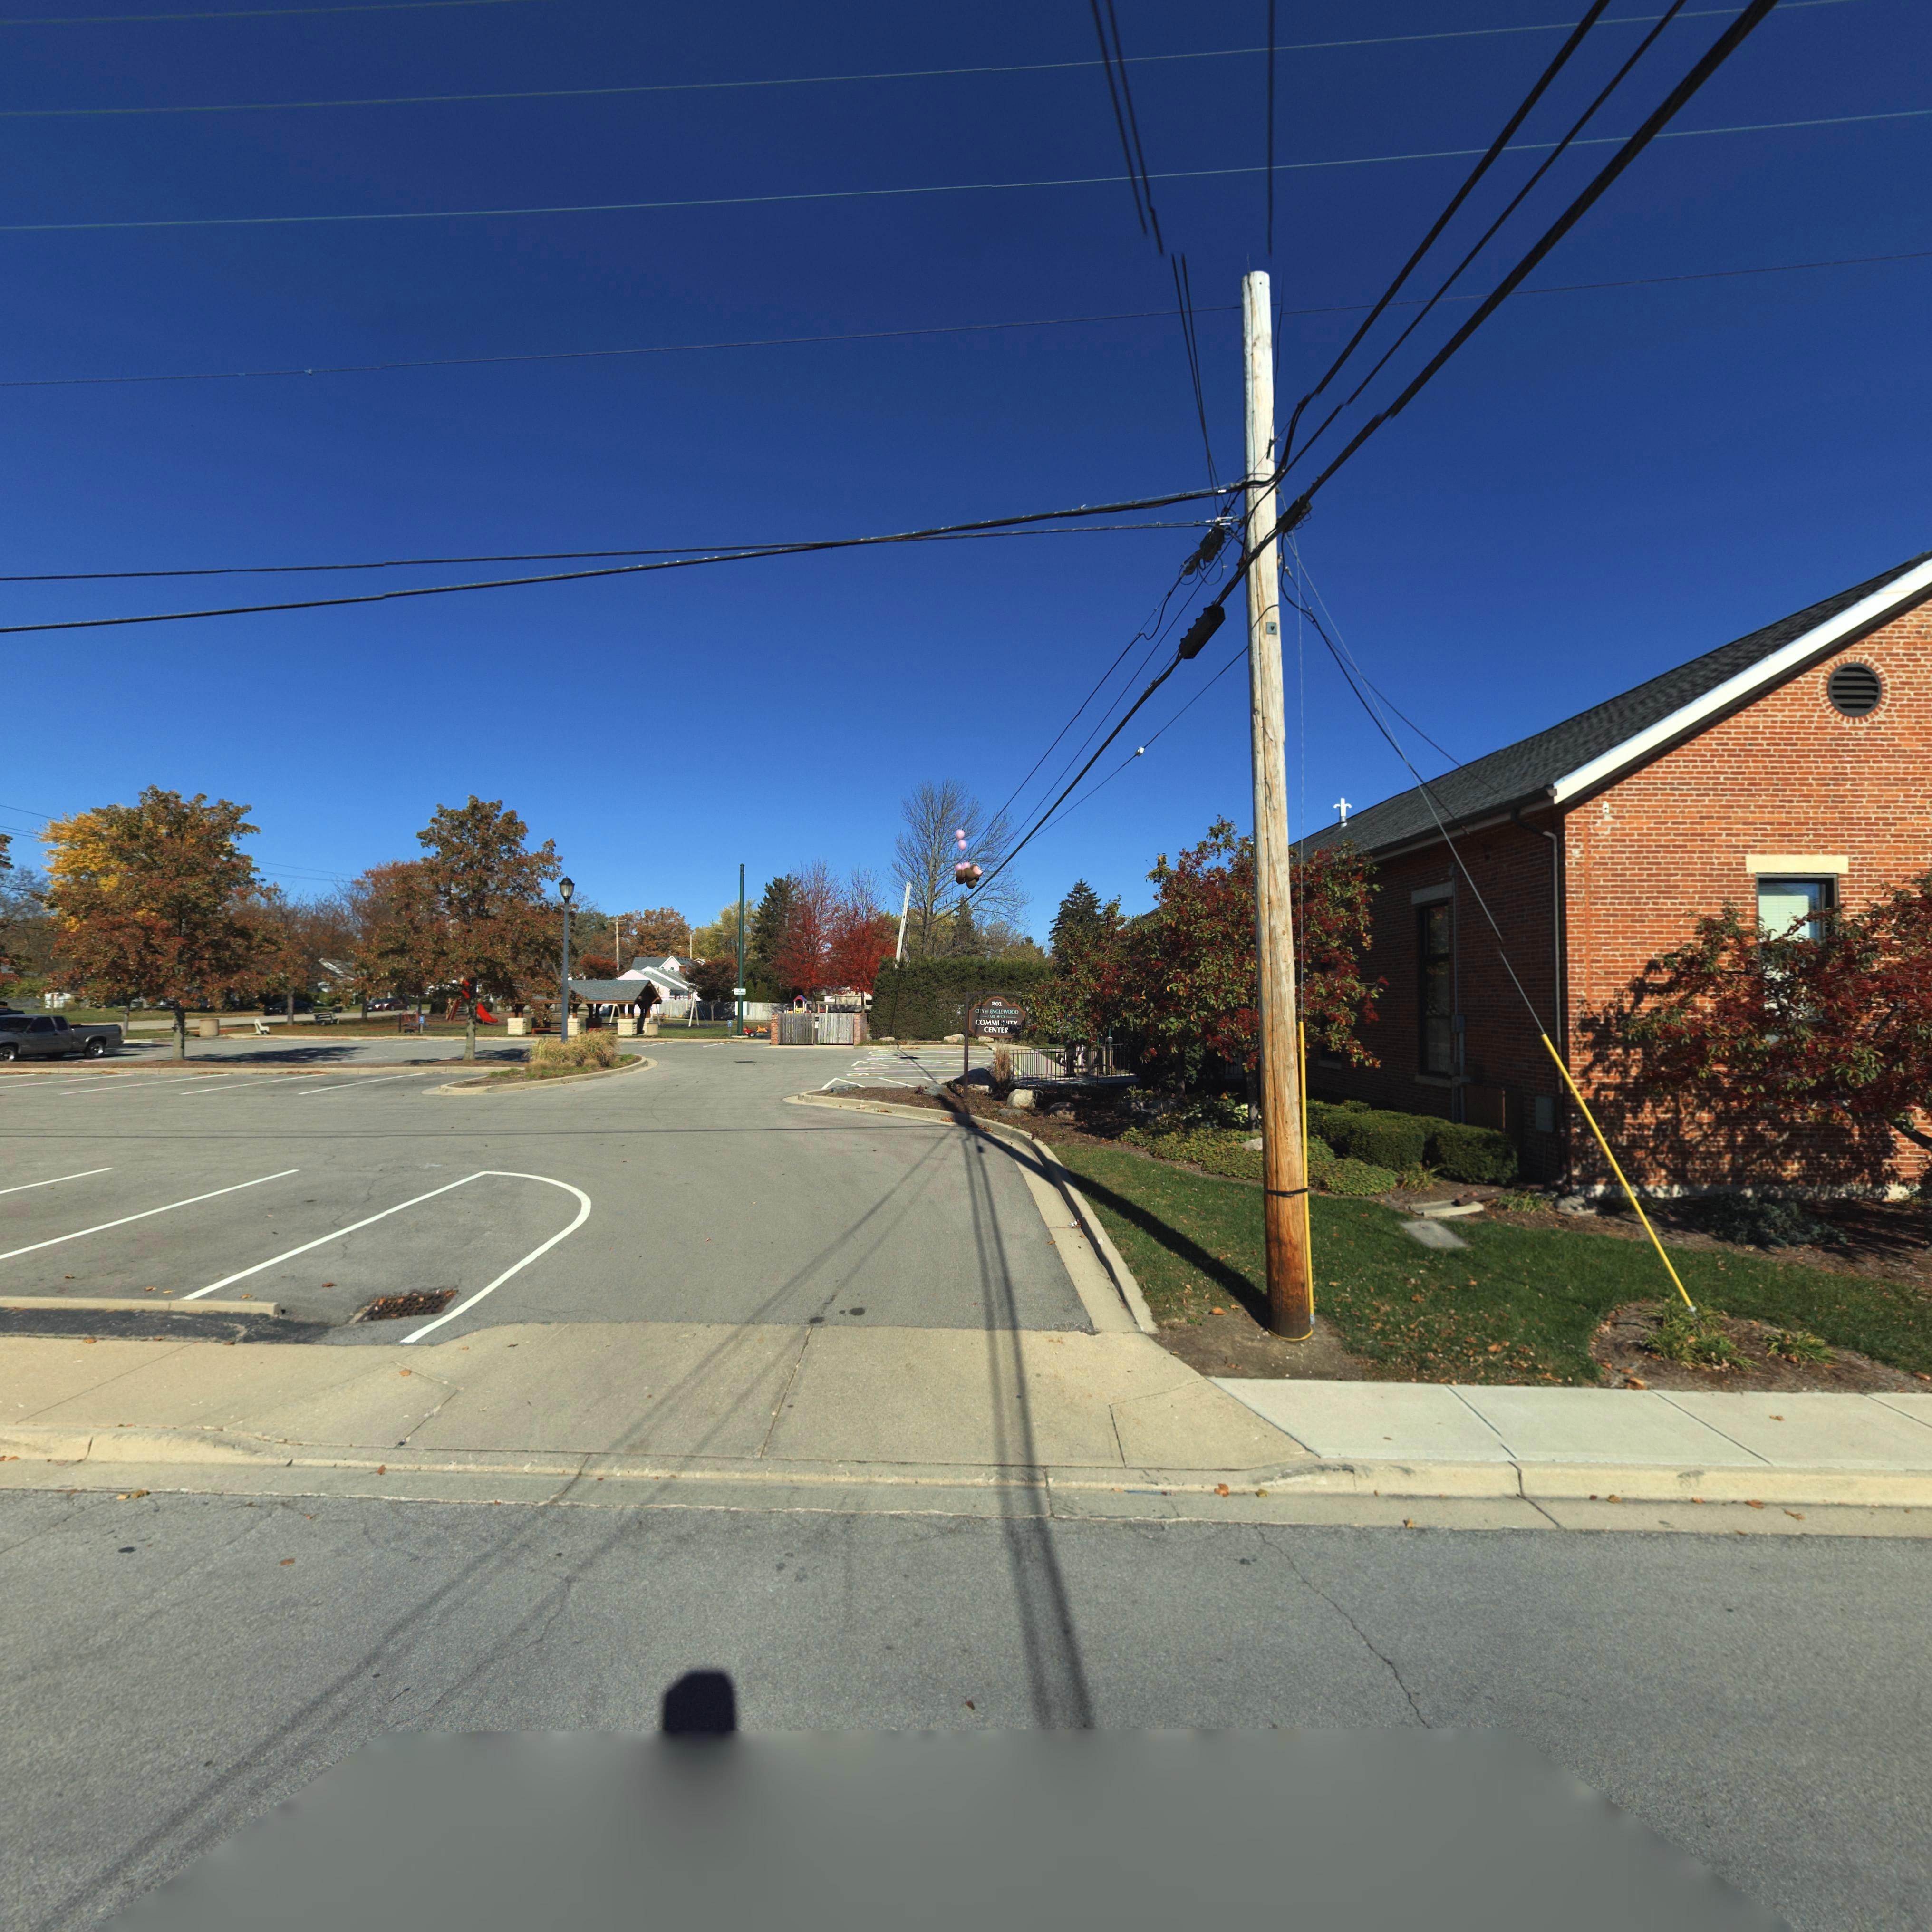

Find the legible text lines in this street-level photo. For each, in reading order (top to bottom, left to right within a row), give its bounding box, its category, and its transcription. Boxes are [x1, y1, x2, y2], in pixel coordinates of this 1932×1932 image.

[991, 1001, 1002, 1007] StreetNumber: 201
[974, 1008, 1019, 1014] None: CITY of ENGLEWOOD
[975, 1018, 1014, 1027] None: COMM*NIT
[983, 1025, 1009, 1034] None: CENTER